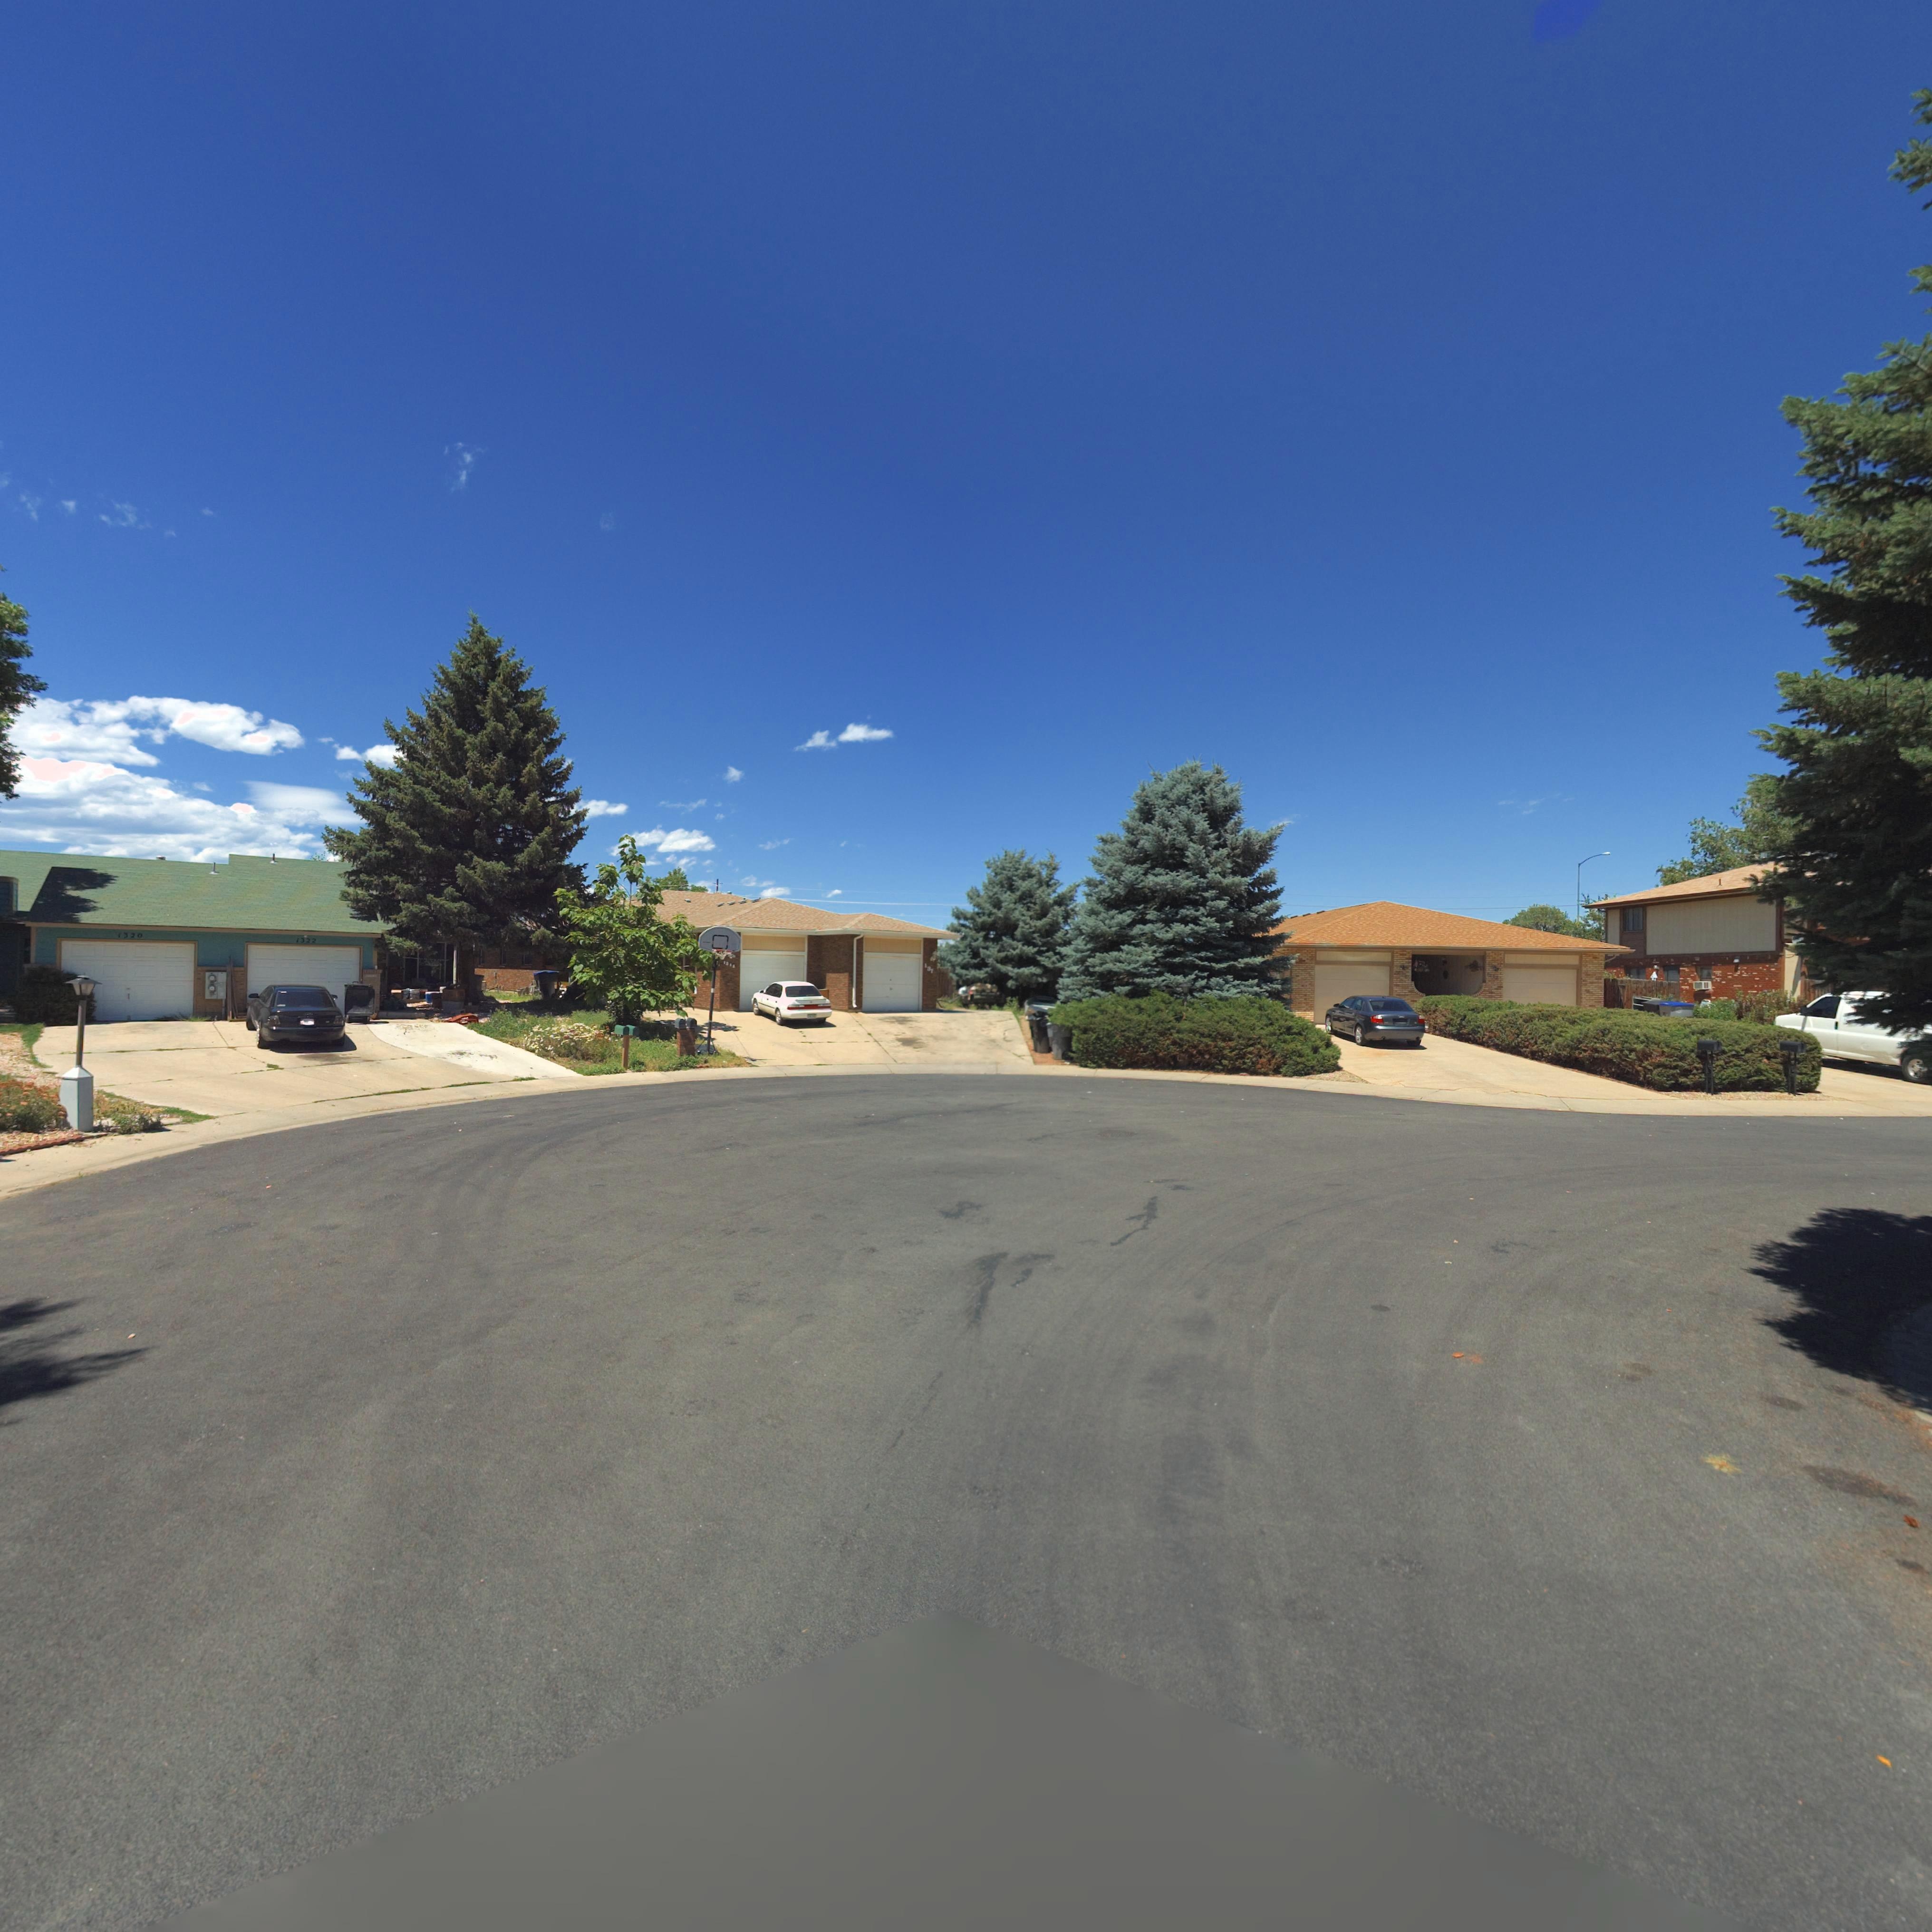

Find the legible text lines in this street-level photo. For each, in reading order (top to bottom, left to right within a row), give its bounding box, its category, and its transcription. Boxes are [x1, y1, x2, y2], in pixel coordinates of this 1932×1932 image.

[117, 931, 143, 939] StreetNumber: 1320
[295, 937, 316, 943] StreetNumber: 1322
[723, 960, 735, 968] StreetNumber: 1*1*
[924, 963, 933, 974] StreetNumber: 131